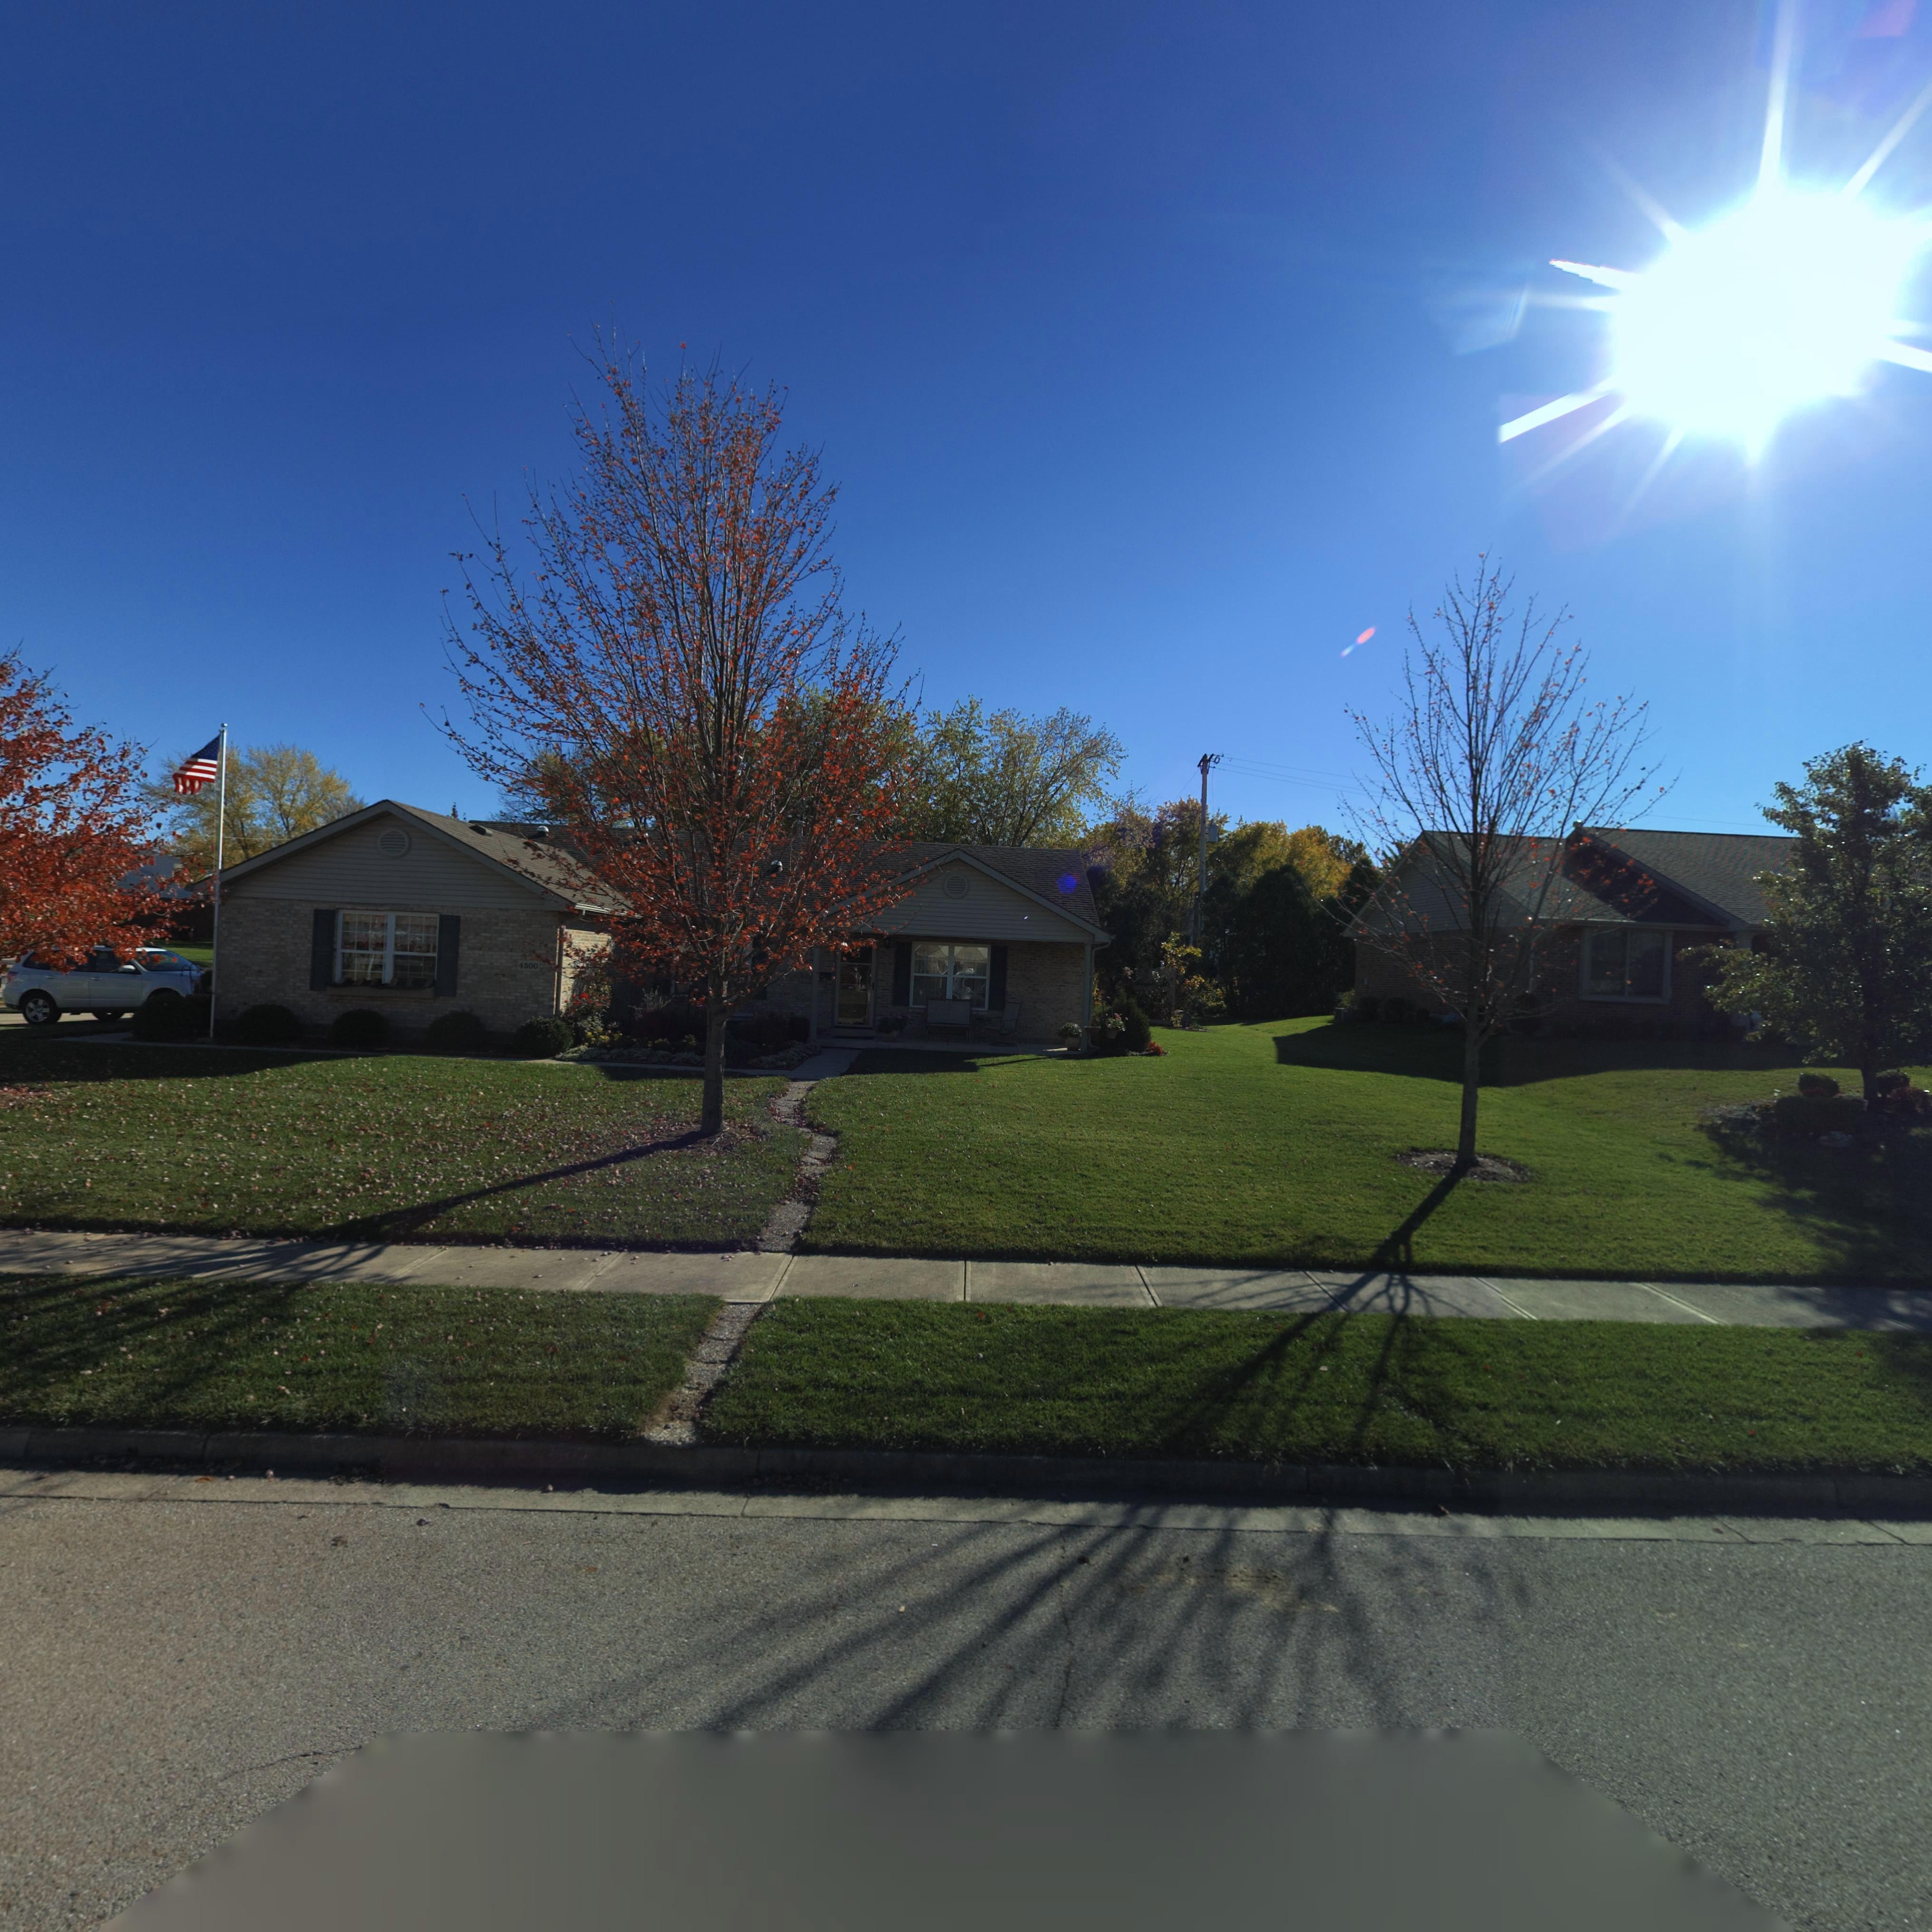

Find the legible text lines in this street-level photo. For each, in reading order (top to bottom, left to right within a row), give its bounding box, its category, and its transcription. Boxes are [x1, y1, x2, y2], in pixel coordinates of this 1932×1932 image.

[518, 961, 539, 970] StreetNumber: 4500